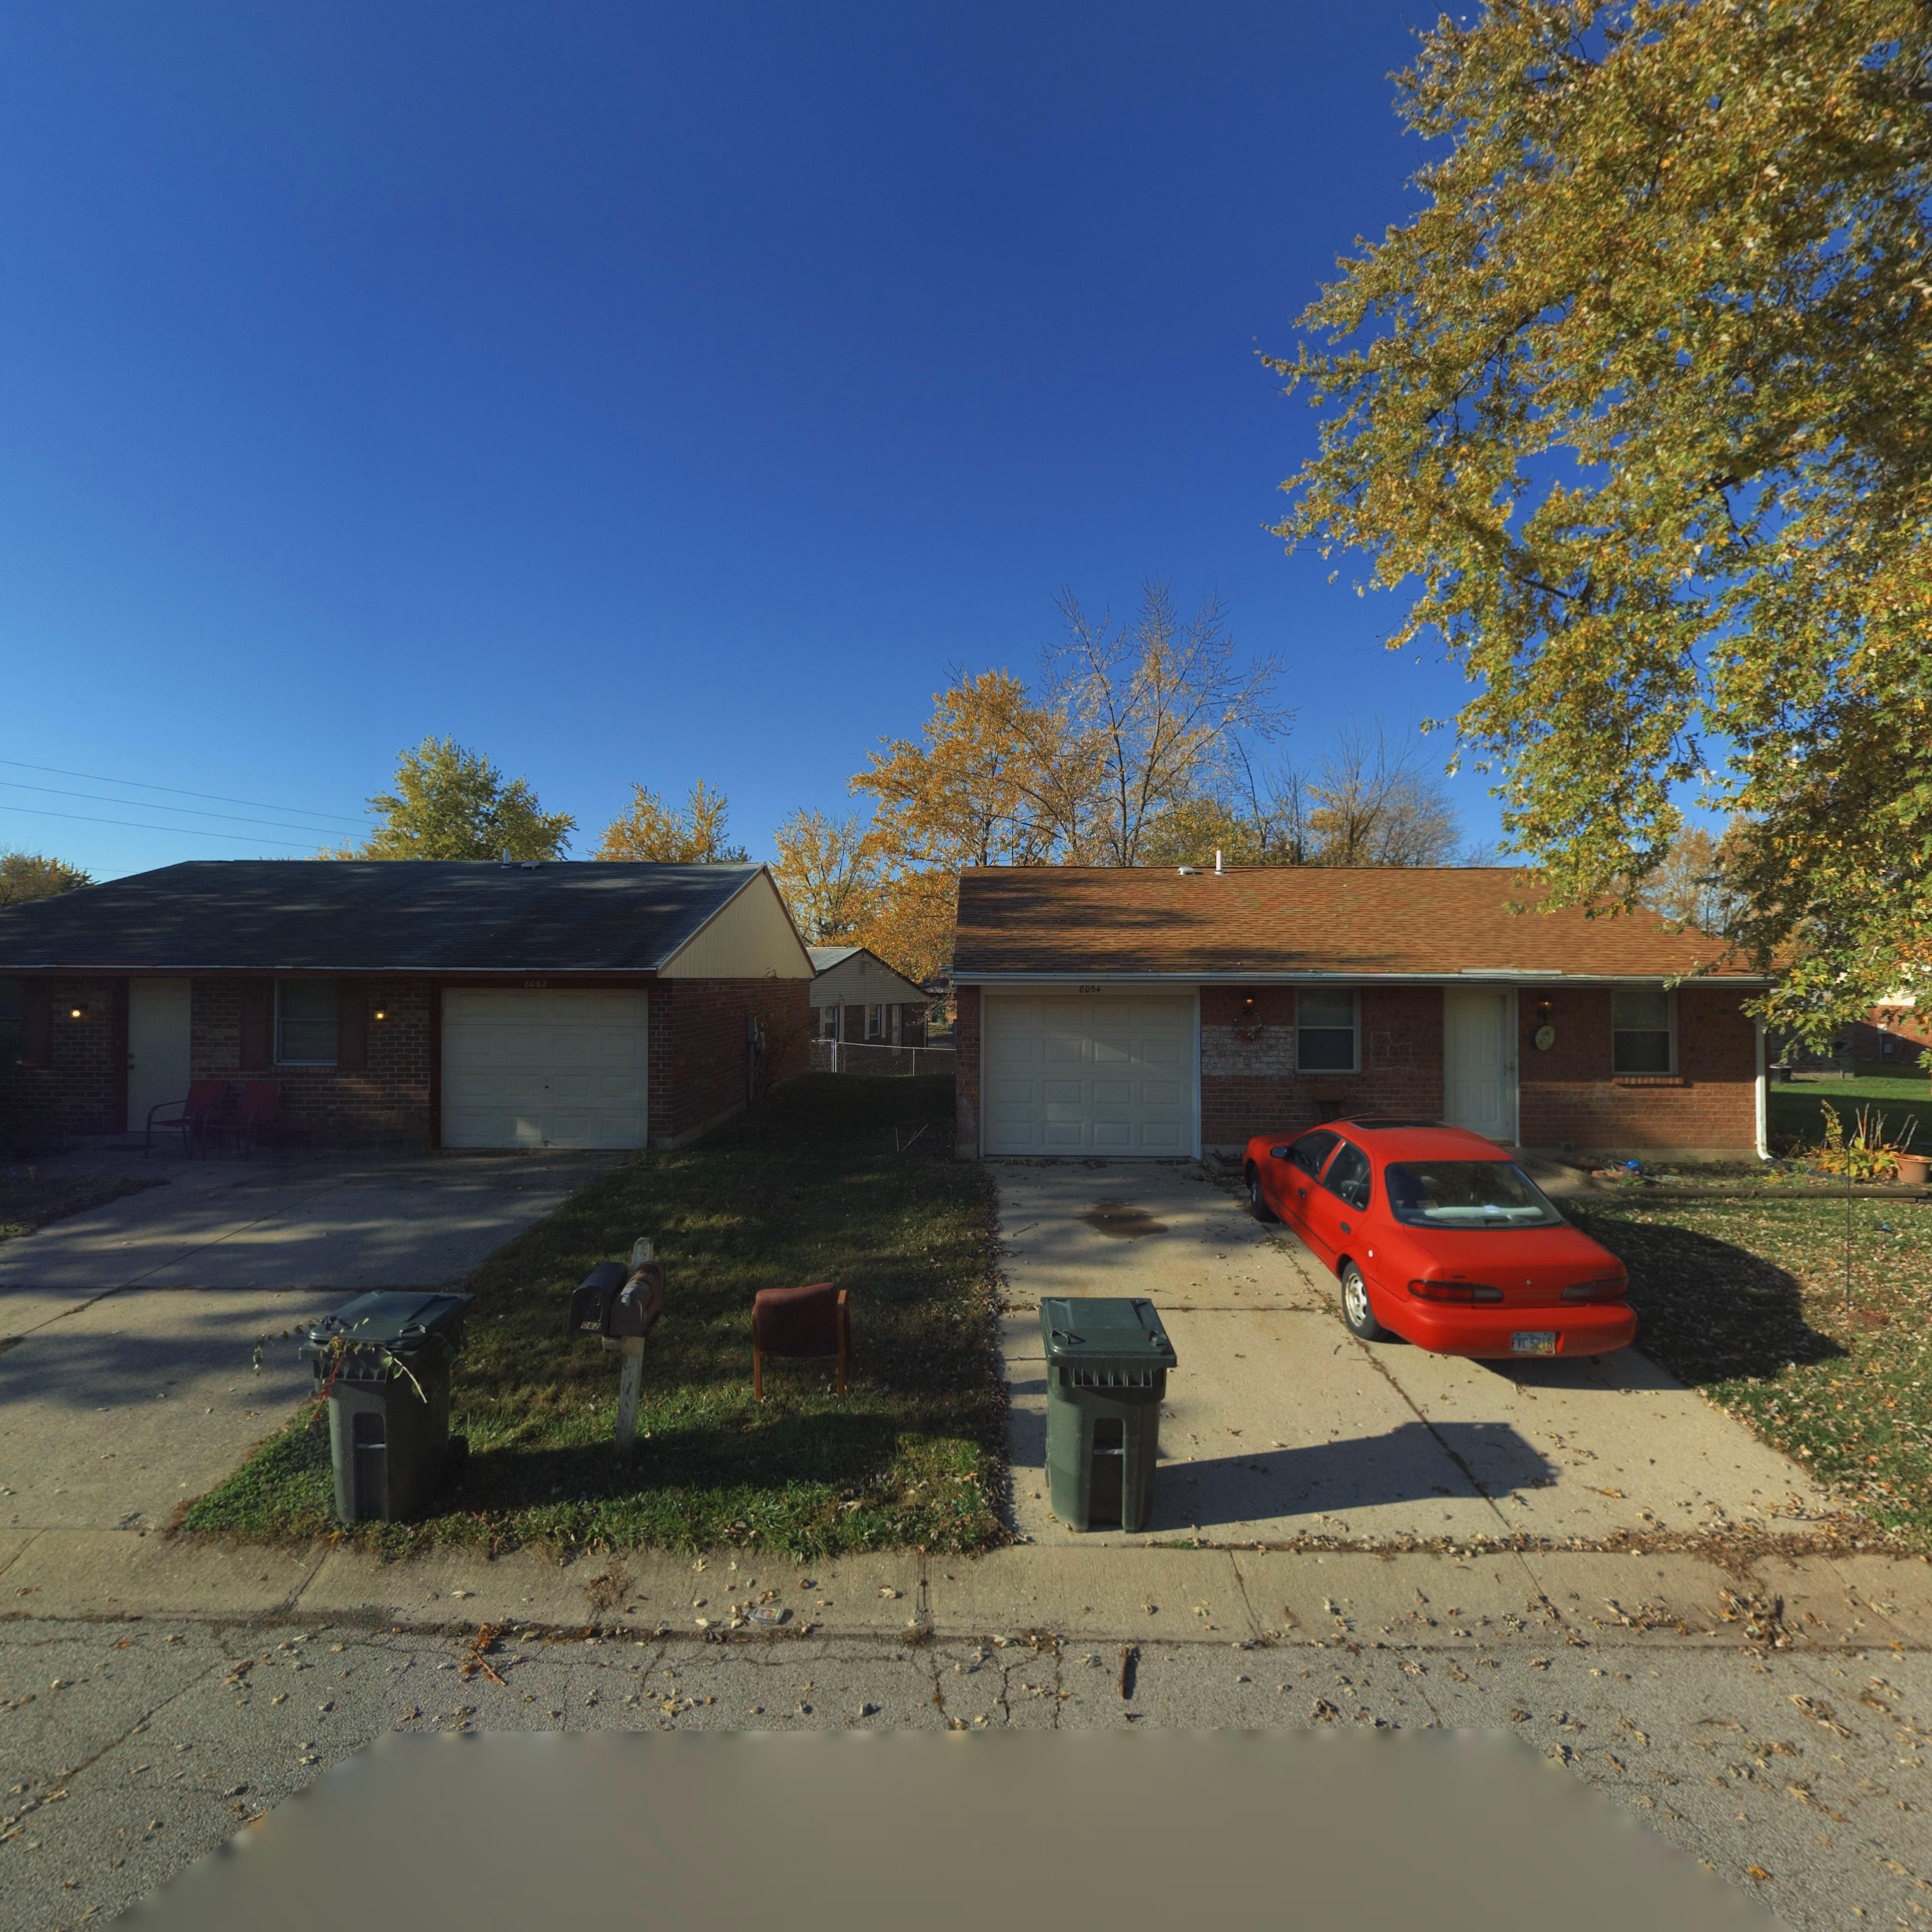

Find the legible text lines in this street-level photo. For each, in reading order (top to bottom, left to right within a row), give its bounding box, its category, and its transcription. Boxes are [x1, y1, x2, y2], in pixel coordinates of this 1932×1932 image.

[524, 978, 549, 989] StreetNumber: 8062
[1078, 985, 1102, 994] StreetNumber: 8054
[581, 1321, 600, 1330] StreetNumber: 062